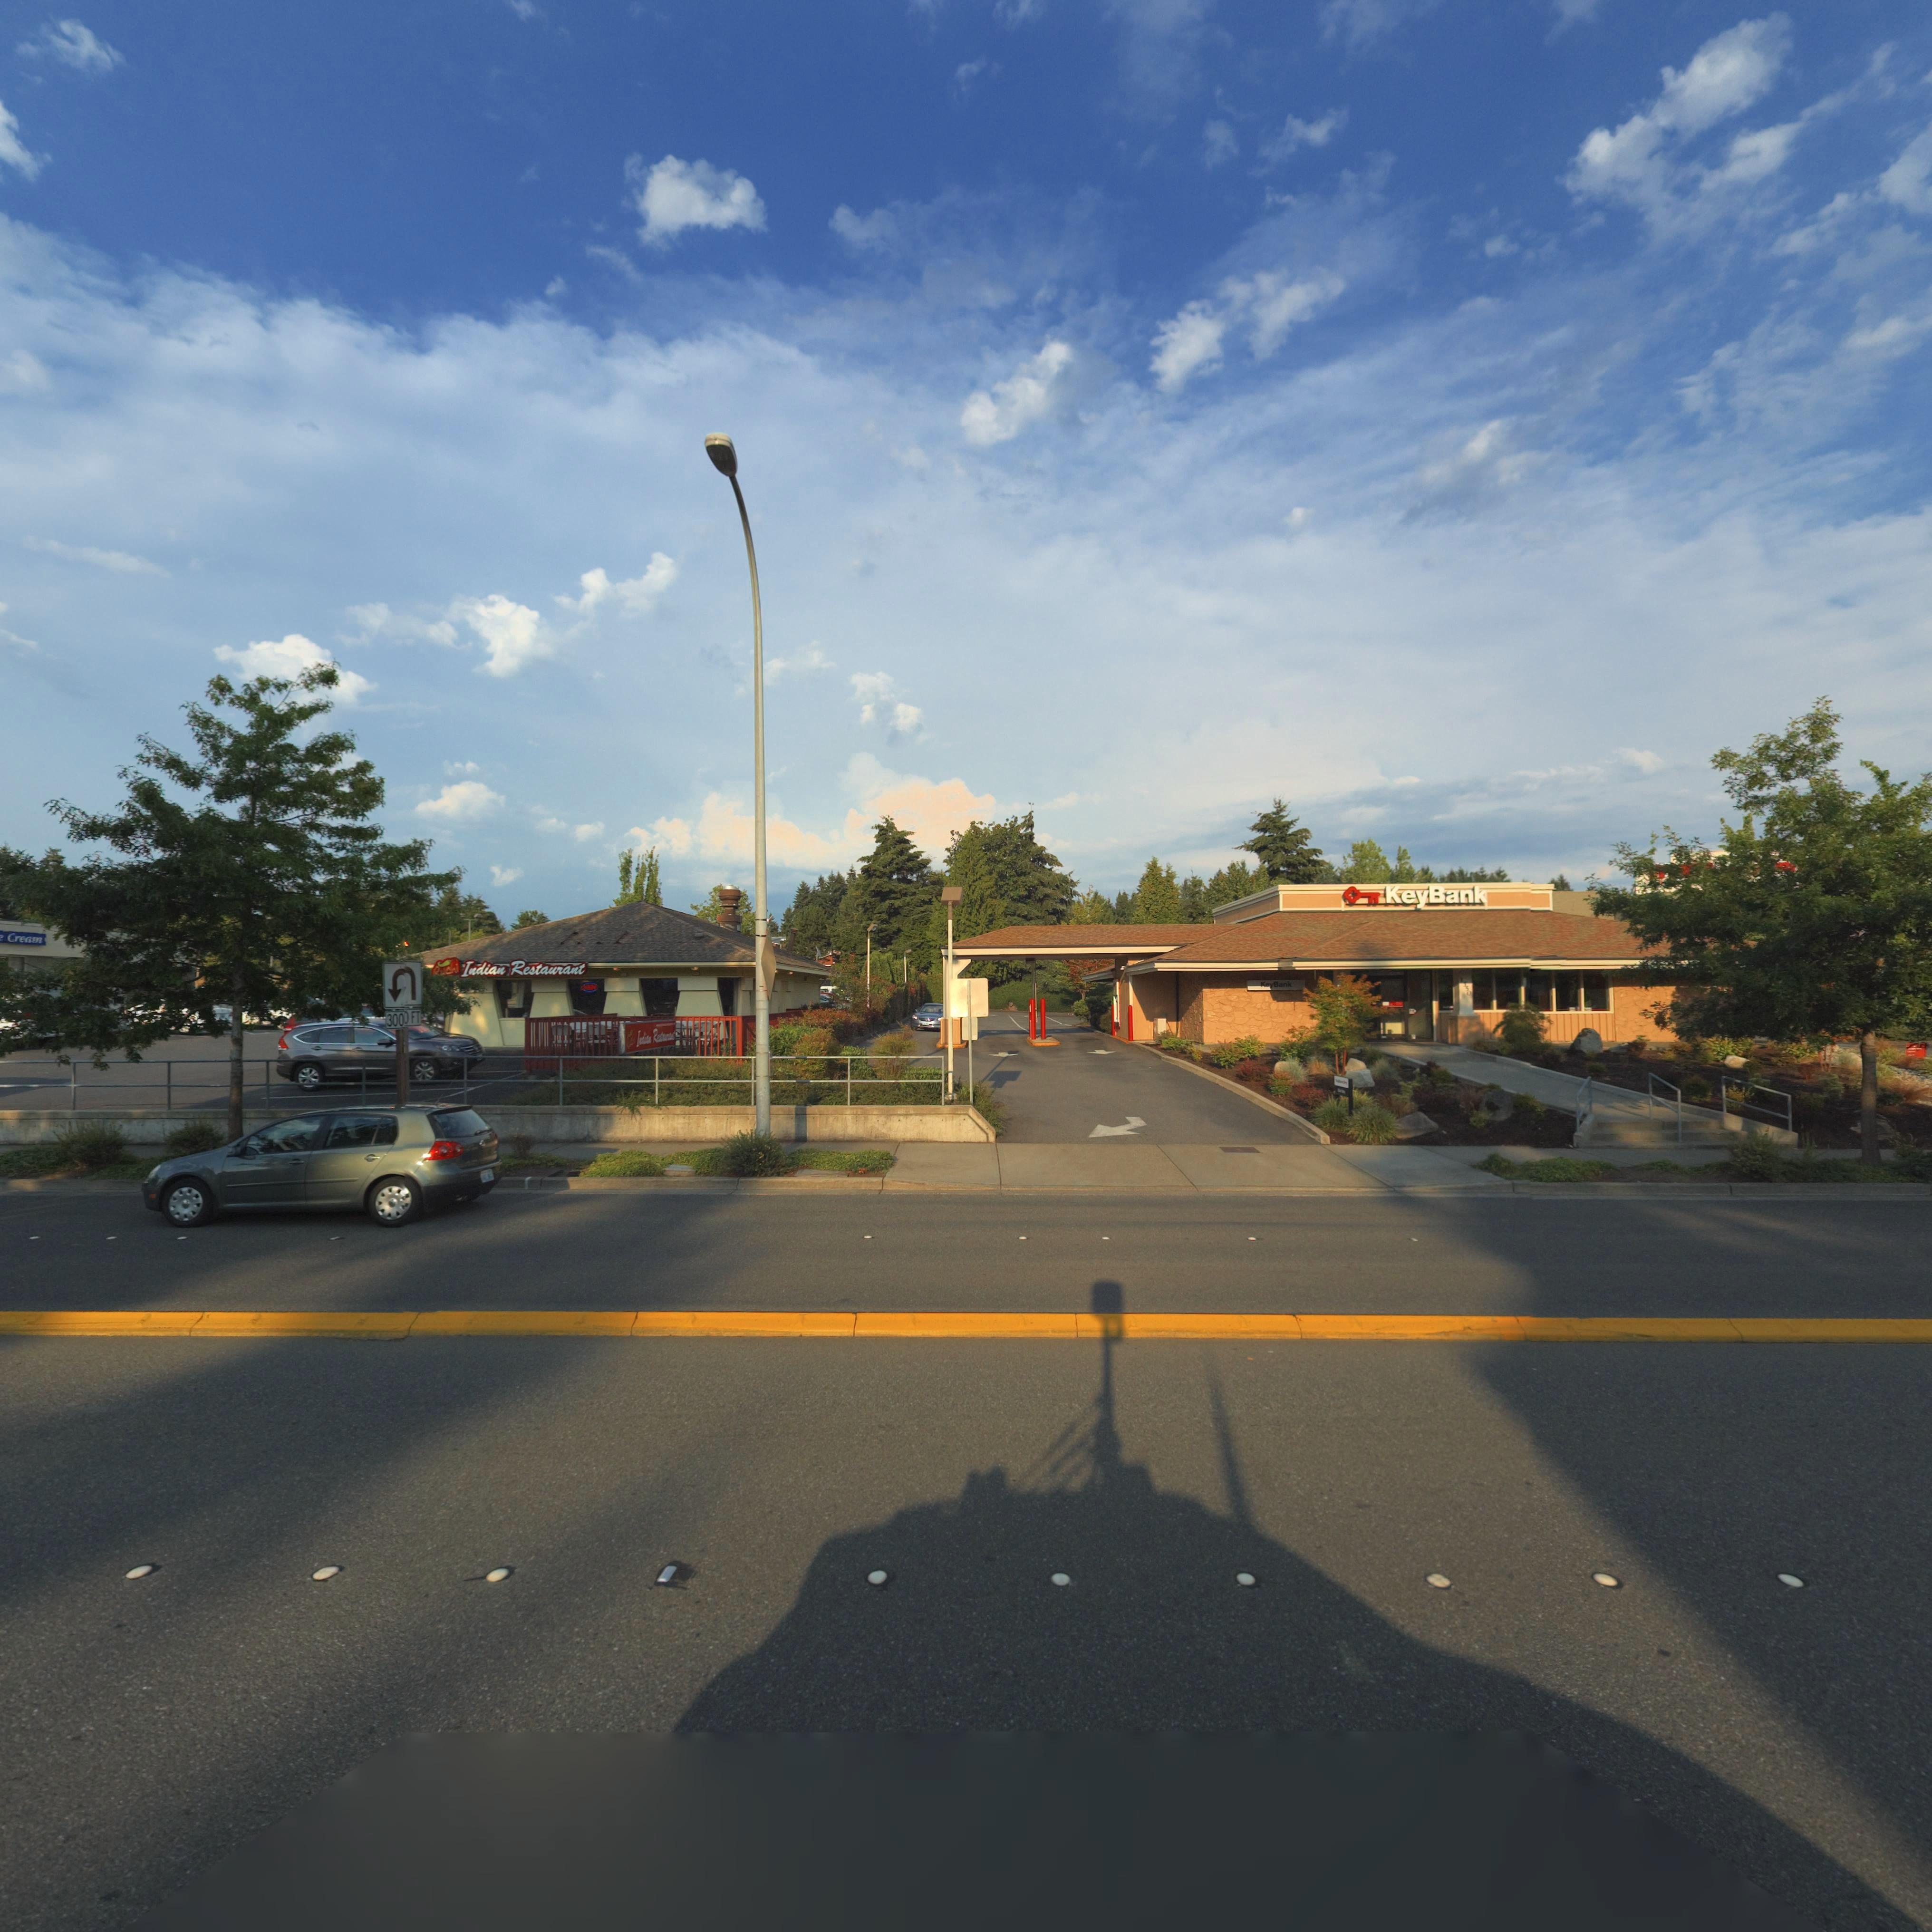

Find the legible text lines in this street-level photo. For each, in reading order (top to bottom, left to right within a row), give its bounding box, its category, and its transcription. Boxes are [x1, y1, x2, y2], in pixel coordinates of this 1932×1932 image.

[1387, 885, 1486, 907] BusinessName: KeyBank
[460, 958, 587, 976] BusinessName: Indian Restaurant
[1260, 980, 1292, 988] BusinessName: KeyBank